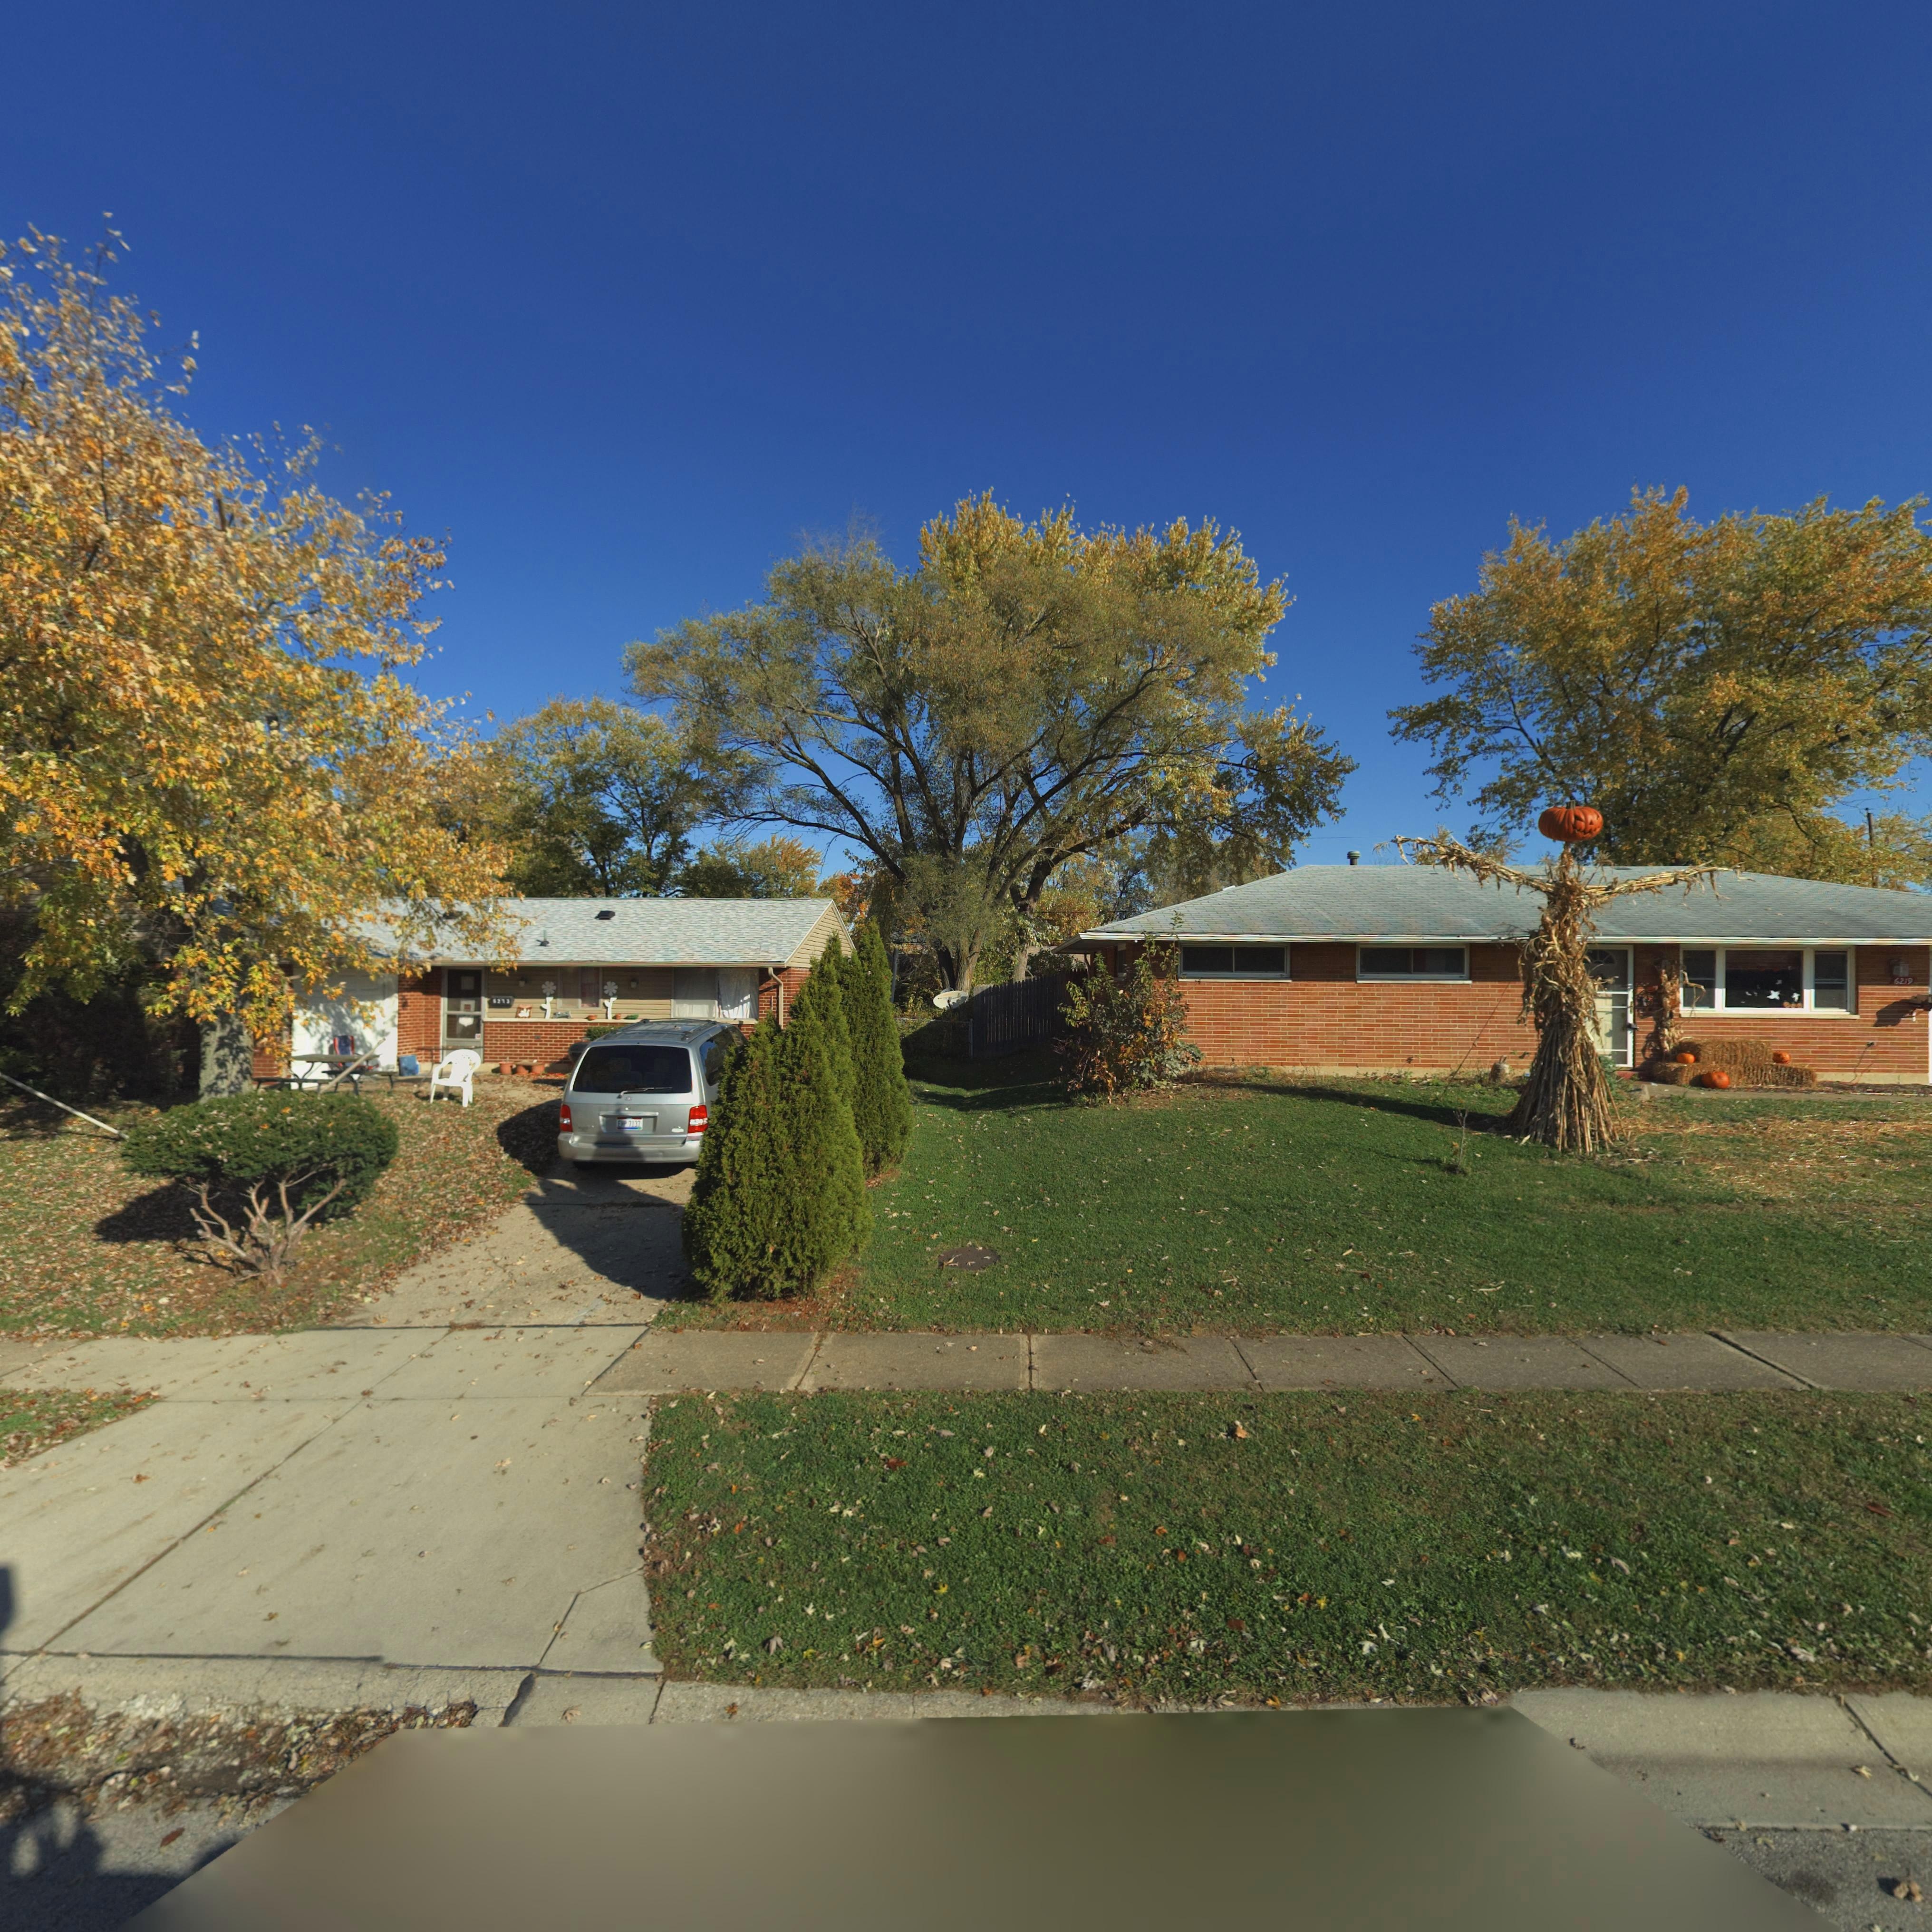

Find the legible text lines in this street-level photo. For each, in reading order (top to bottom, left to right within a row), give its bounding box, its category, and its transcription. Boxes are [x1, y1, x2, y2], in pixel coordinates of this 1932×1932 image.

[1893, 977, 1913, 985] StreetNumber: 6219
[492, 998, 510, 1005] StreetNumber: 6213